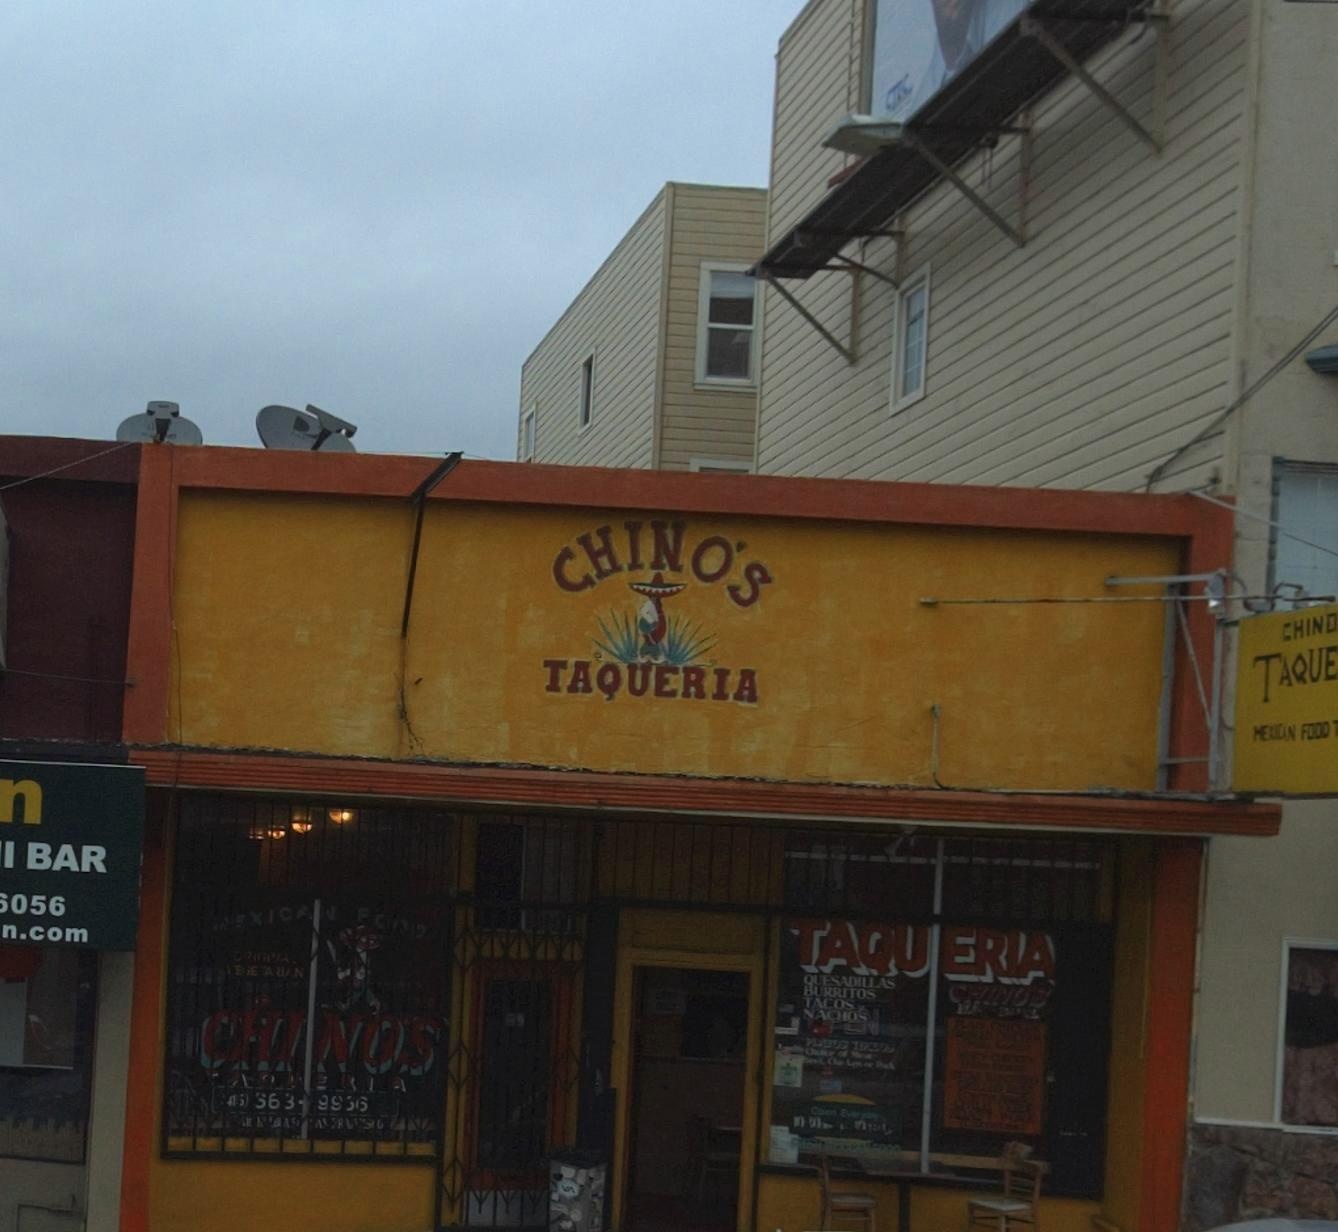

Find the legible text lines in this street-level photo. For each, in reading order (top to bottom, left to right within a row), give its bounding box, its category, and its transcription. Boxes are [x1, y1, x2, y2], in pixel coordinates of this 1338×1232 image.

[544, 515, 781, 608] BusinessName: CHINO'S
[1279, 607, 1337, 645] BusinessName: CHINO
[540, 656, 762, 709] BusinessName: TAQUERIA
[1249, 643, 1338, 707] BusinessName: TAQUE
[1250, 717, 1332, 744] None: MEXICANFOOD
[24, 839, 110, 875] None: BAR
[9, 890, 69, 920] None: 056
[0, 922, 91, 945] None: n.com
[210, 901, 340, 939] None: *EXICA*
[785, 915, 1058, 990] BusinessName: TAQUERIA
[801, 996, 856, 1011] None: TACOS
[802, 1006, 868, 1023] None: NACHOS
[802, 984, 878, 1000] None: BURRITOS
[801, 972, 897, 990] None: QUESADILLAS
[946, 981, 1056, 1009] BusinessName: CHINOS
[198, 1007, 443, 1079] BusinessName: CHINOS
[222, 1091, 371, 1114] None: *** *63-99*6